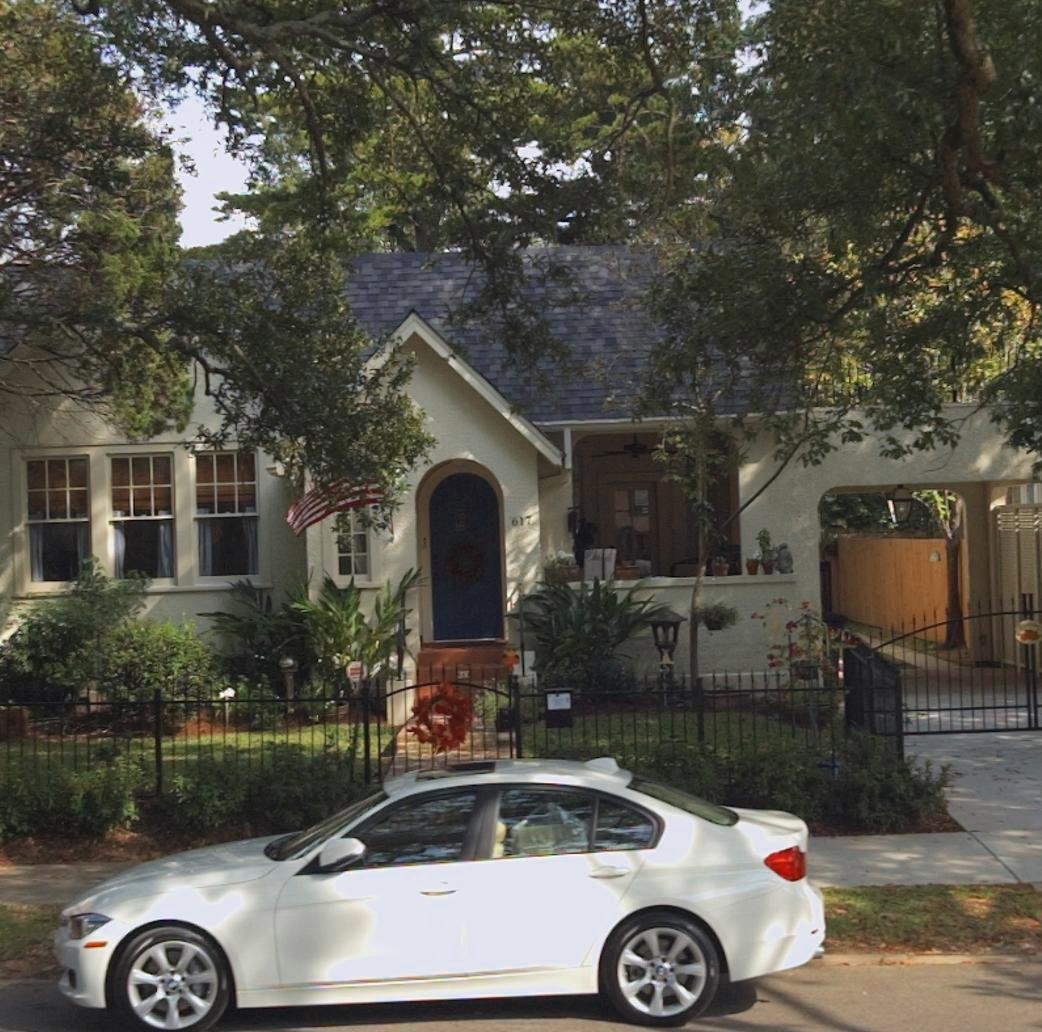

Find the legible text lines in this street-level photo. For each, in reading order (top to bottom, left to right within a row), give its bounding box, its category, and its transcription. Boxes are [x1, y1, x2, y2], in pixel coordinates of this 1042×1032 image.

[508, 513, 534, 528] StreetNumber: 617